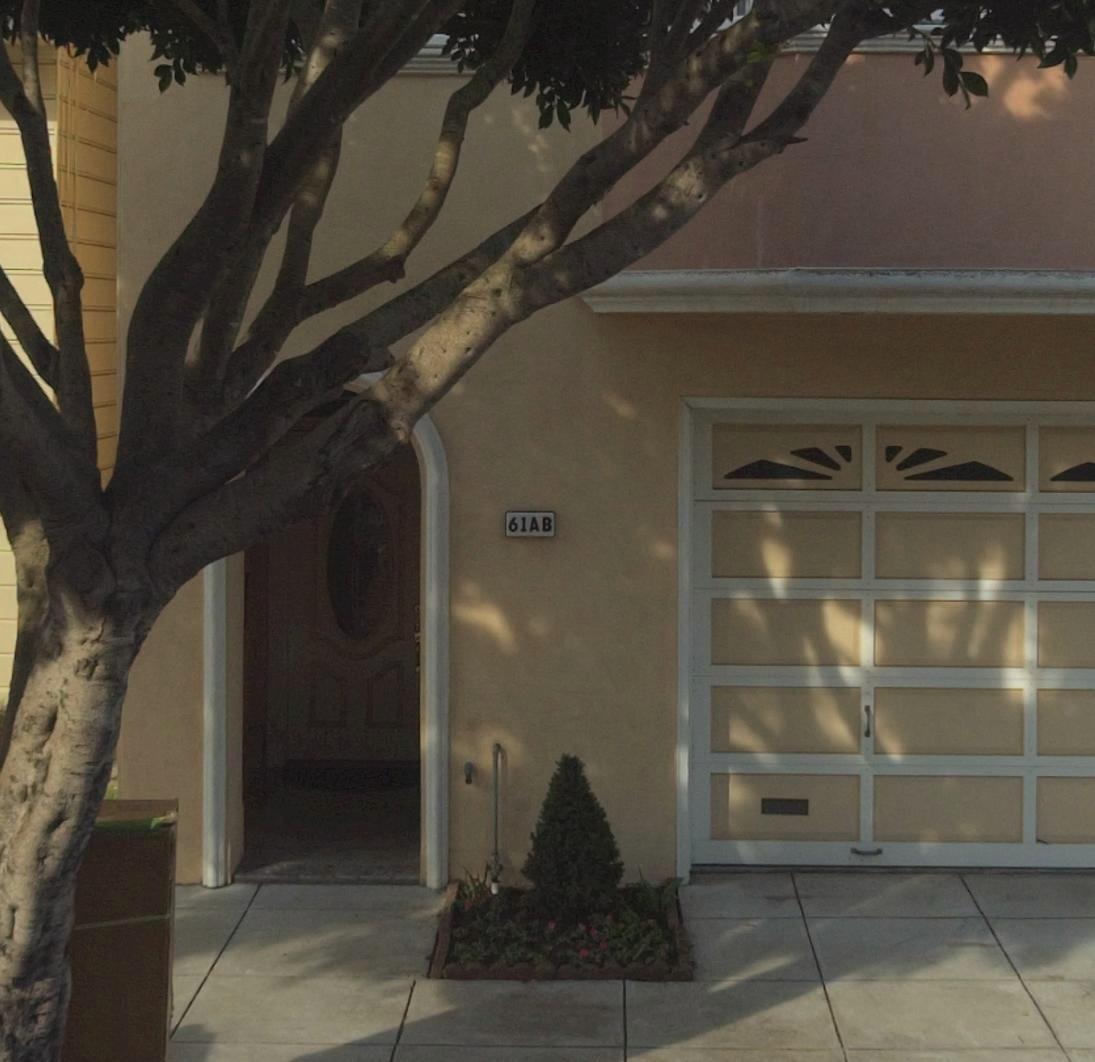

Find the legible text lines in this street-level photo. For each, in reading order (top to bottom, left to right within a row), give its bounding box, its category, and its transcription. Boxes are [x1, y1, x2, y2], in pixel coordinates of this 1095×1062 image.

[506, 513, 554, 535] StreetNumber: 61AB